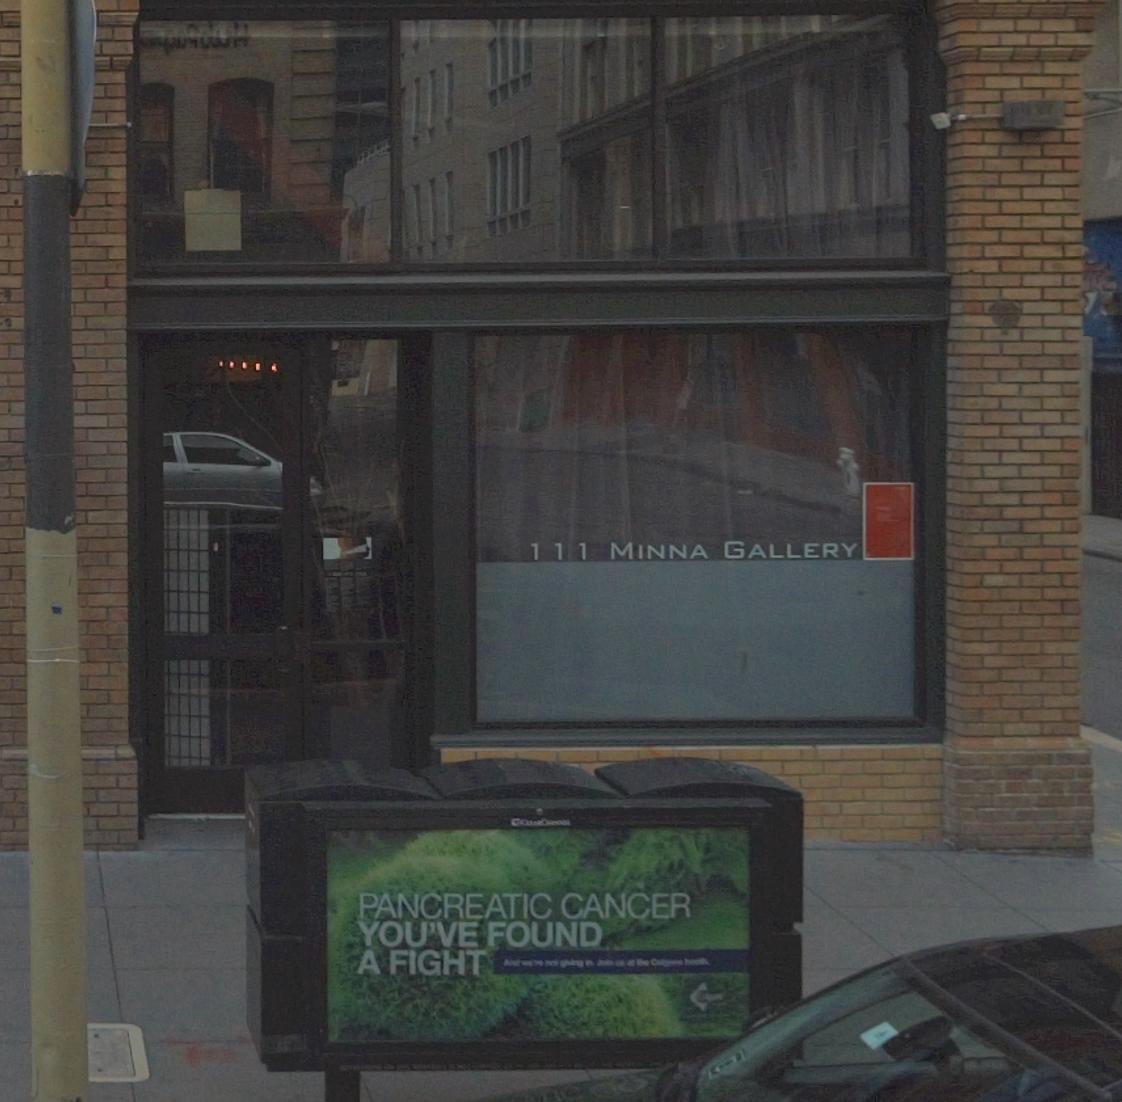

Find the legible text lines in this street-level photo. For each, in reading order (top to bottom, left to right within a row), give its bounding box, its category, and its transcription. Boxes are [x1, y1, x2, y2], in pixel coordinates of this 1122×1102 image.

[527, 541, 590, 563] StreetNumber: 111
[609, 539, 861, 562] None: MINNA GALLERY
[356, 889, 695, 923] None: PANCREATIC CANCER
[351, 917, 607, 951] None: YOU'VE FOUND
[353, 945, 491, 979] None: A FIGHT